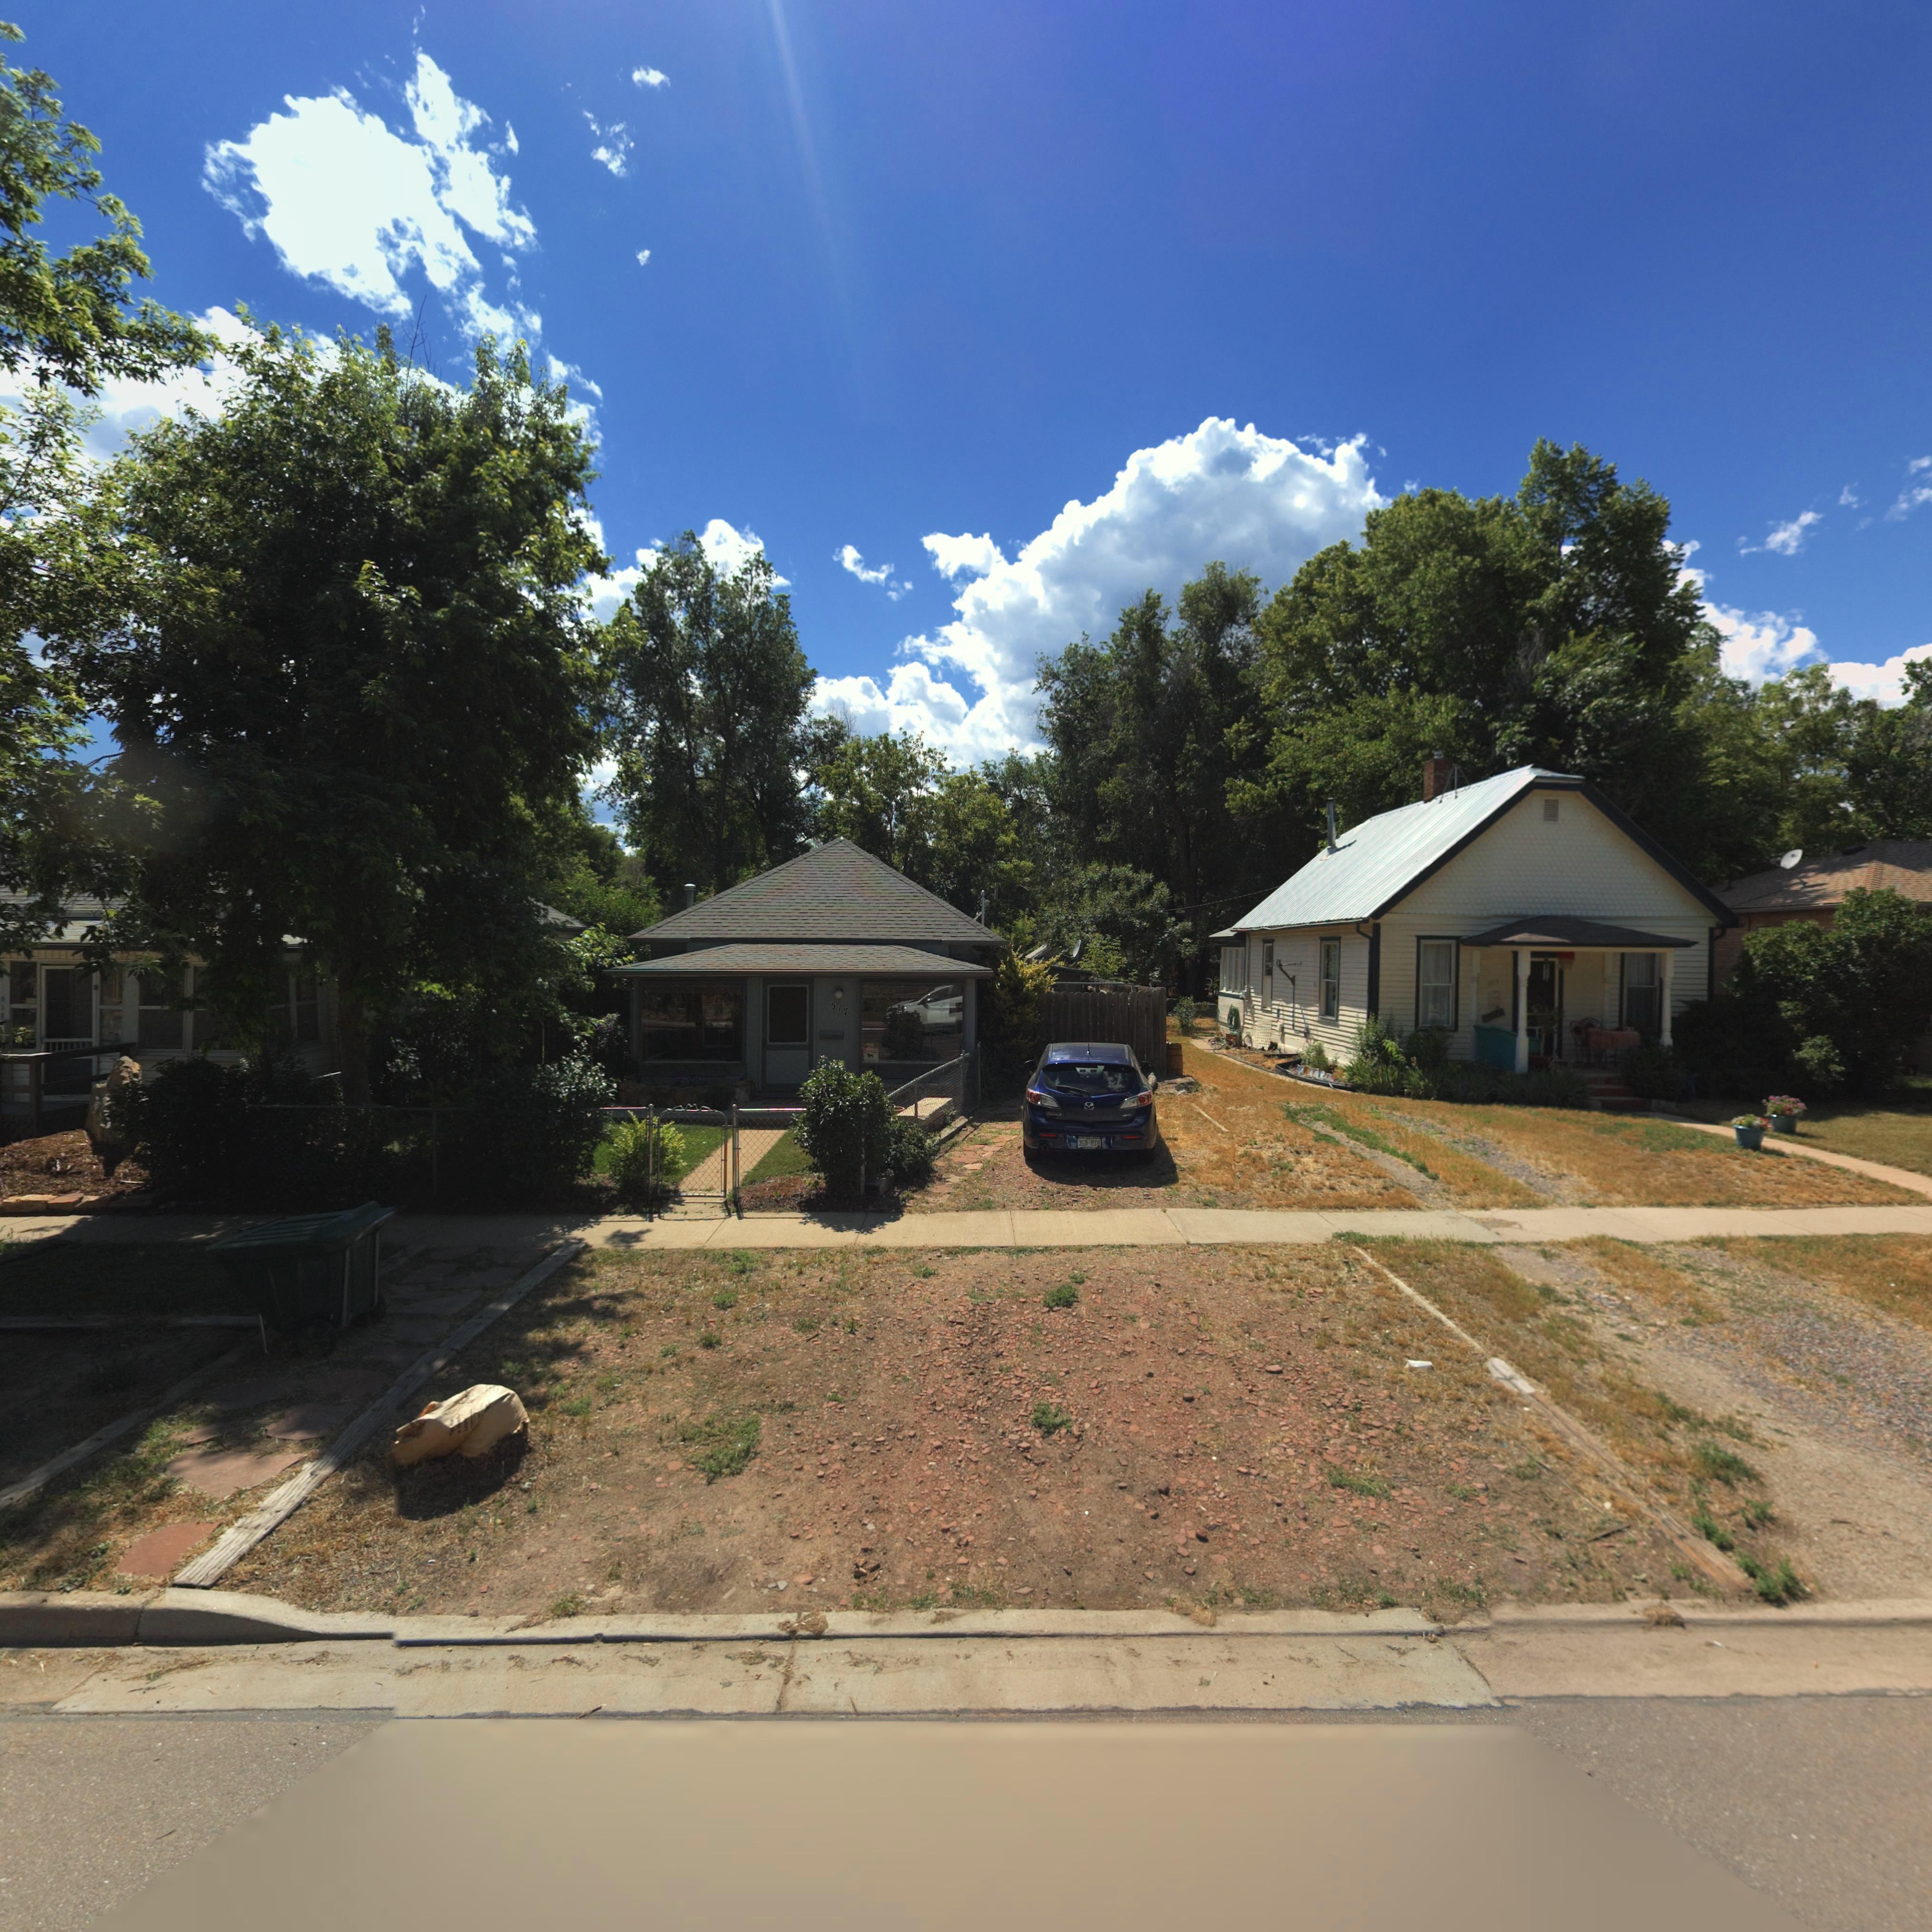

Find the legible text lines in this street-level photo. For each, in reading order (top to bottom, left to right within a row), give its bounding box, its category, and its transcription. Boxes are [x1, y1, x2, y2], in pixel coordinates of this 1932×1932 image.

[829, 1001, 849, 1015] StreetNumber: 517